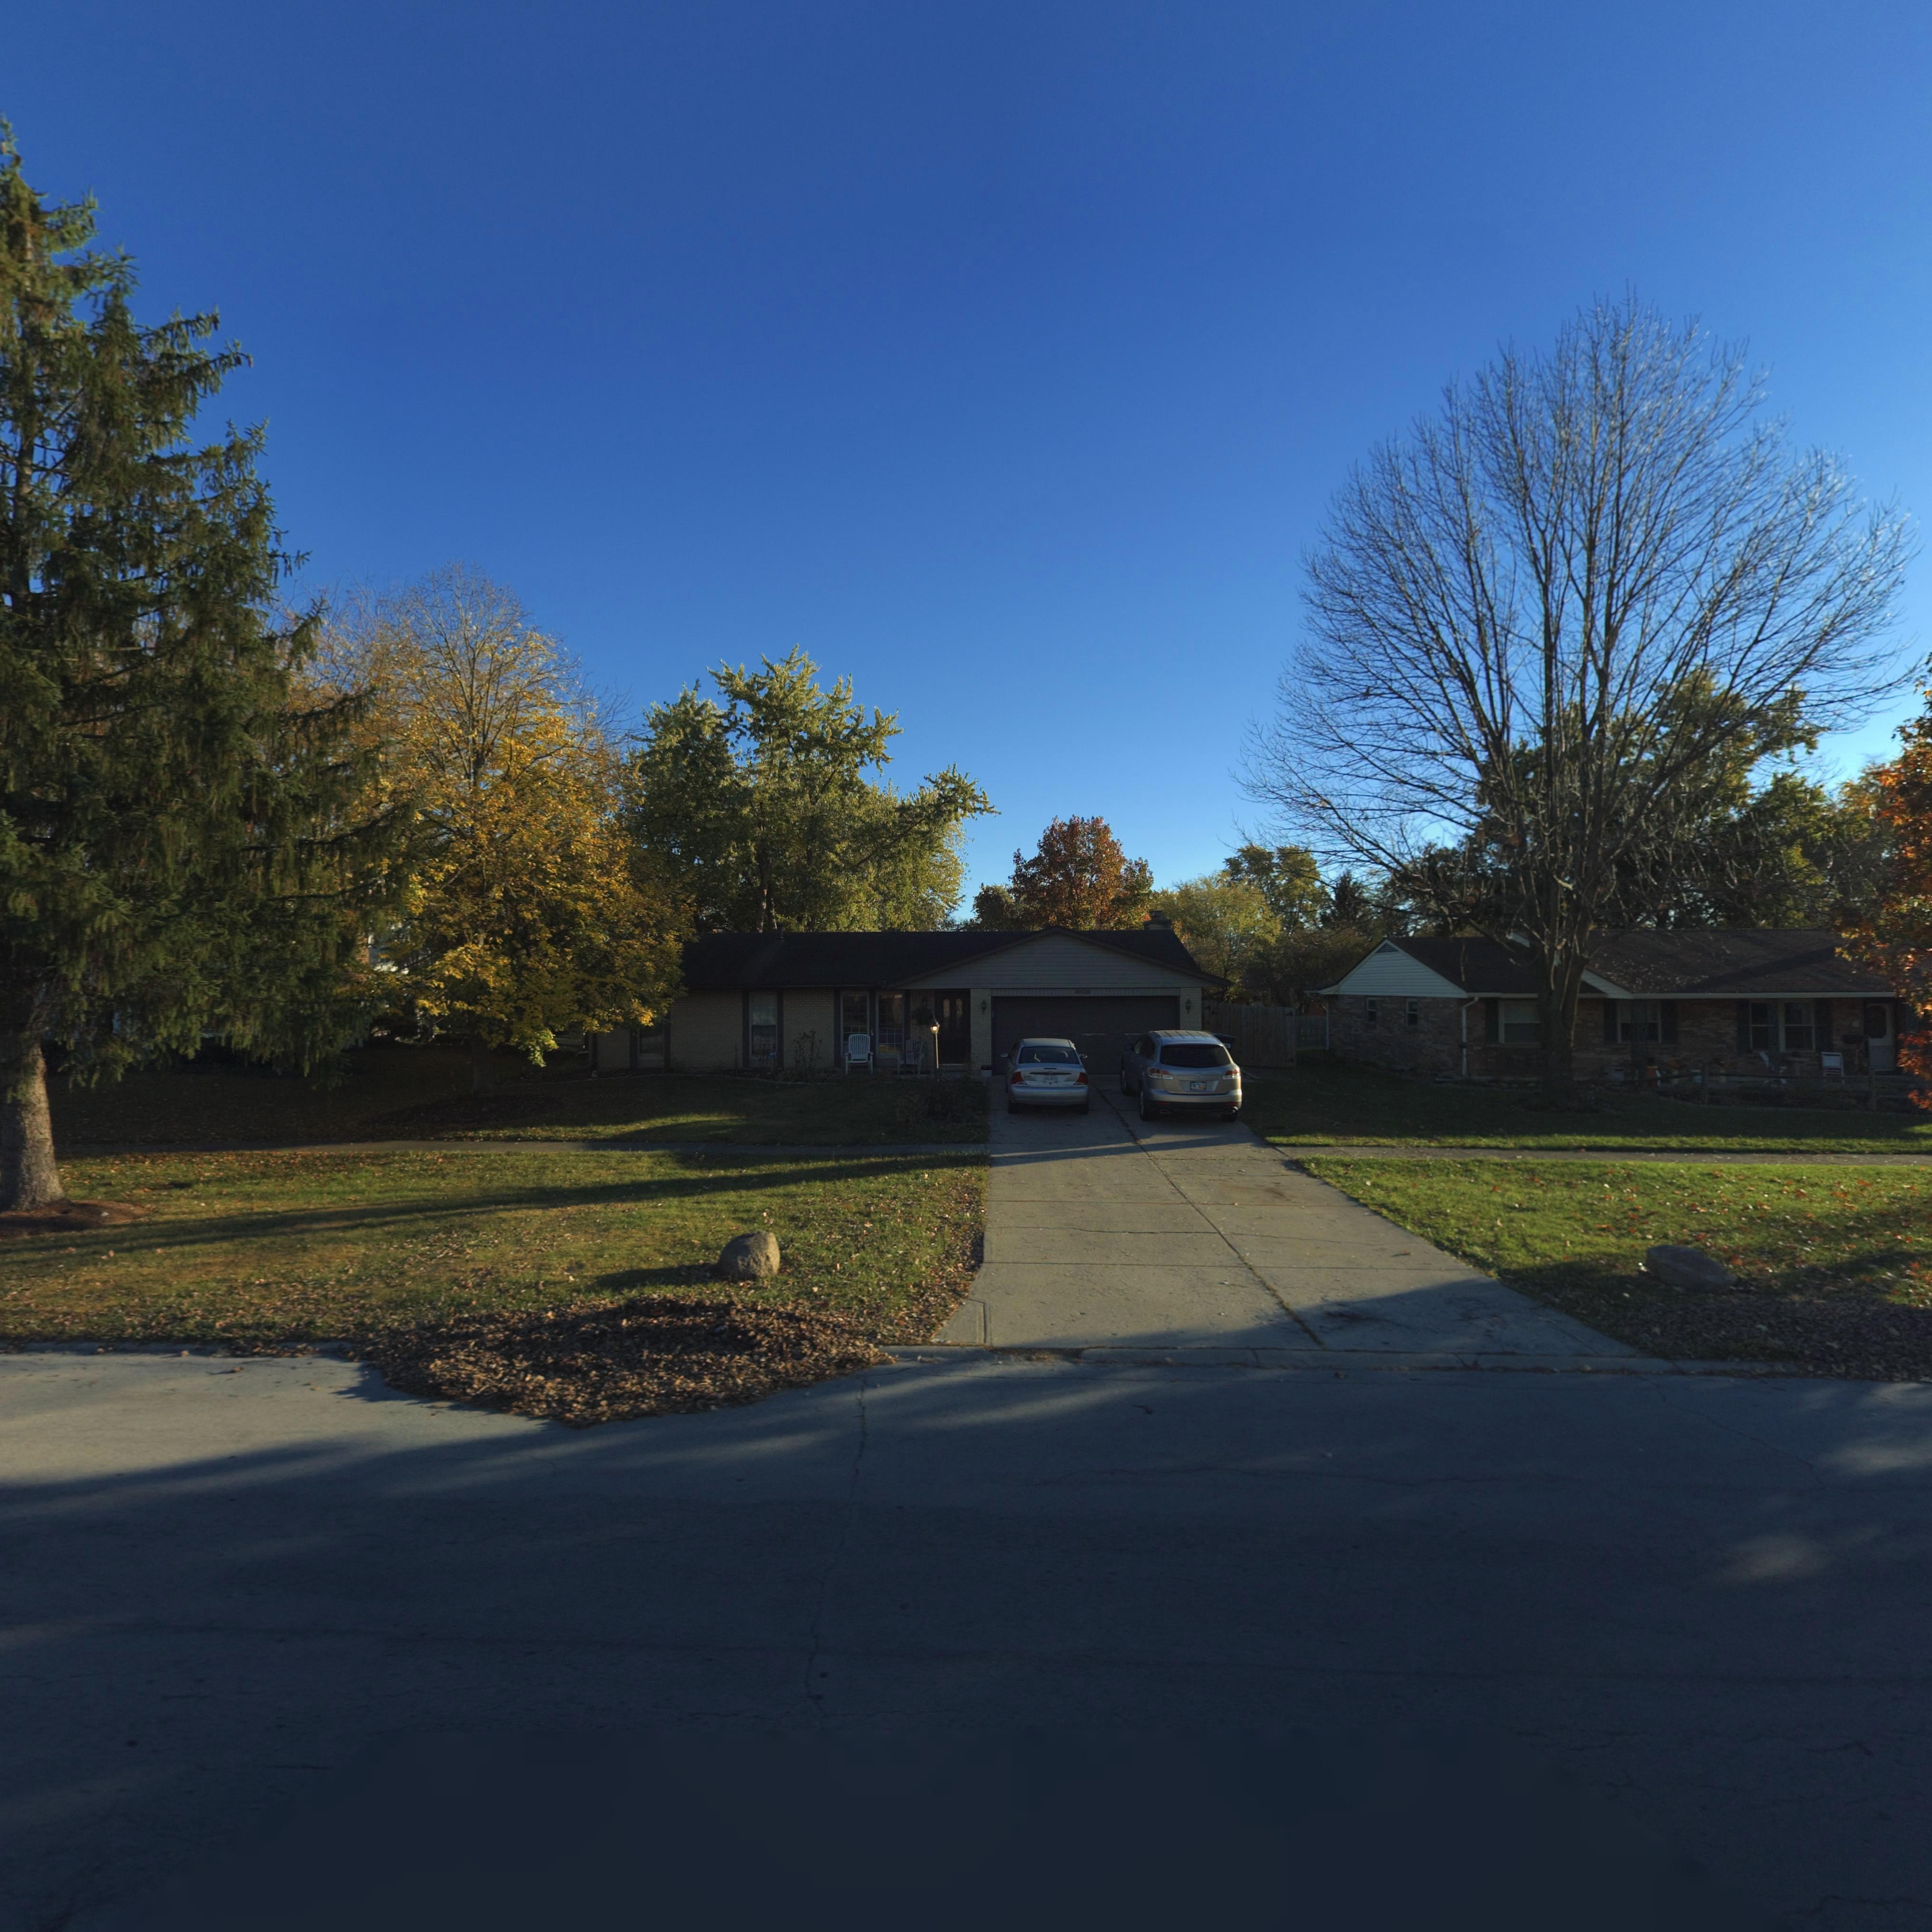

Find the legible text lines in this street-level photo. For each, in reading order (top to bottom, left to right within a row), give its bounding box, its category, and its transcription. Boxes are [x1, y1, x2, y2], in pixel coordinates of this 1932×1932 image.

[1074, 989, 1091, 995] StreetNumber: 4928